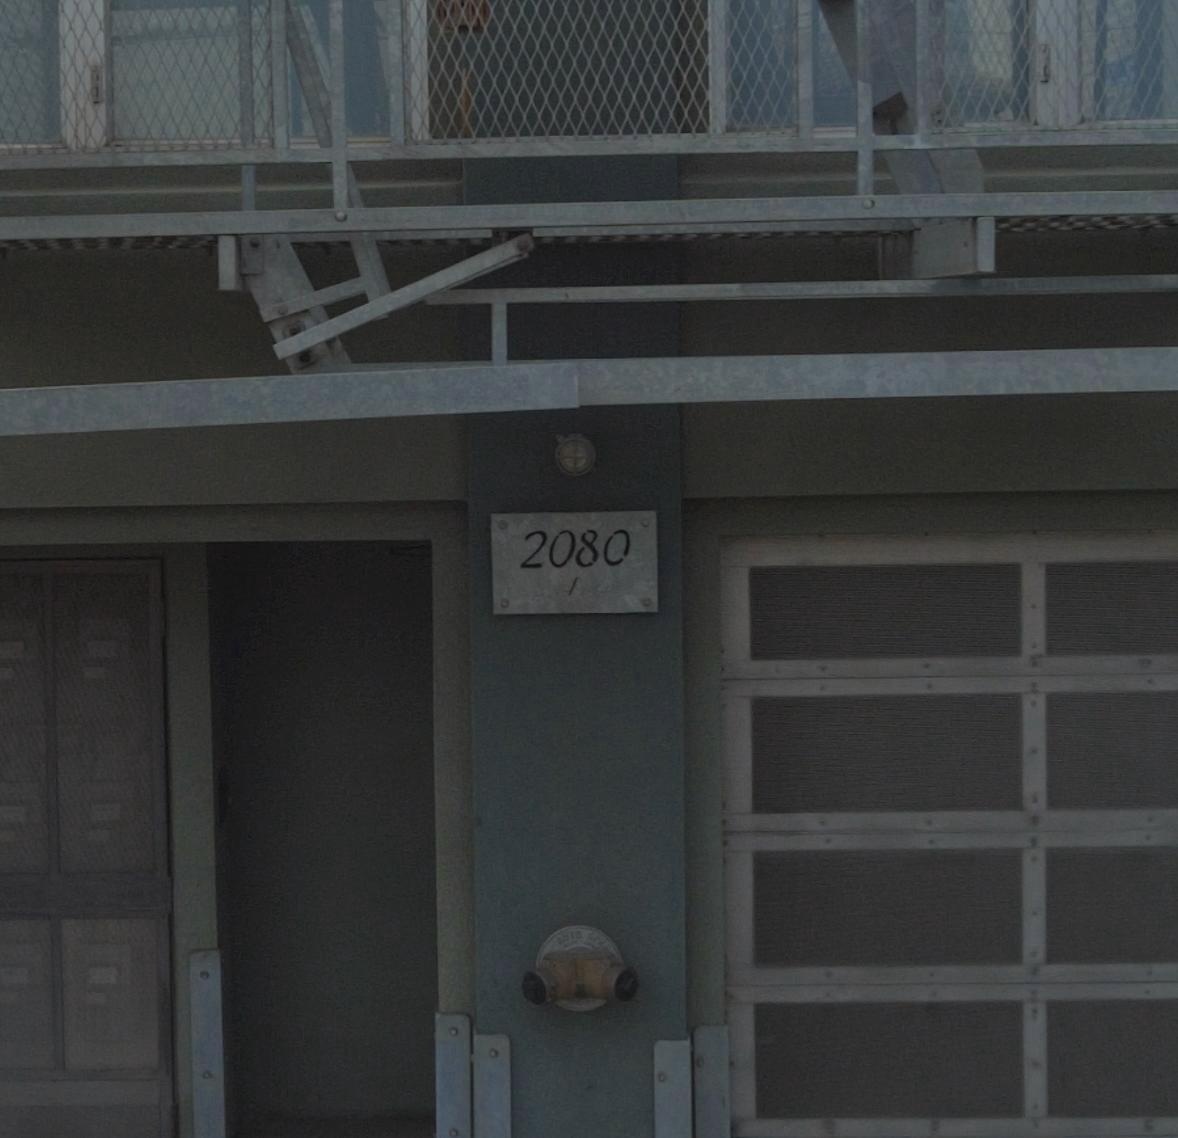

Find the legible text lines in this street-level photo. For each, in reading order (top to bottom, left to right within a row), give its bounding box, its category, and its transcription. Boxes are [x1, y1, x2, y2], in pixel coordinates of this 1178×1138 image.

[517, 527, 632, 571] StreetNumber: 2080